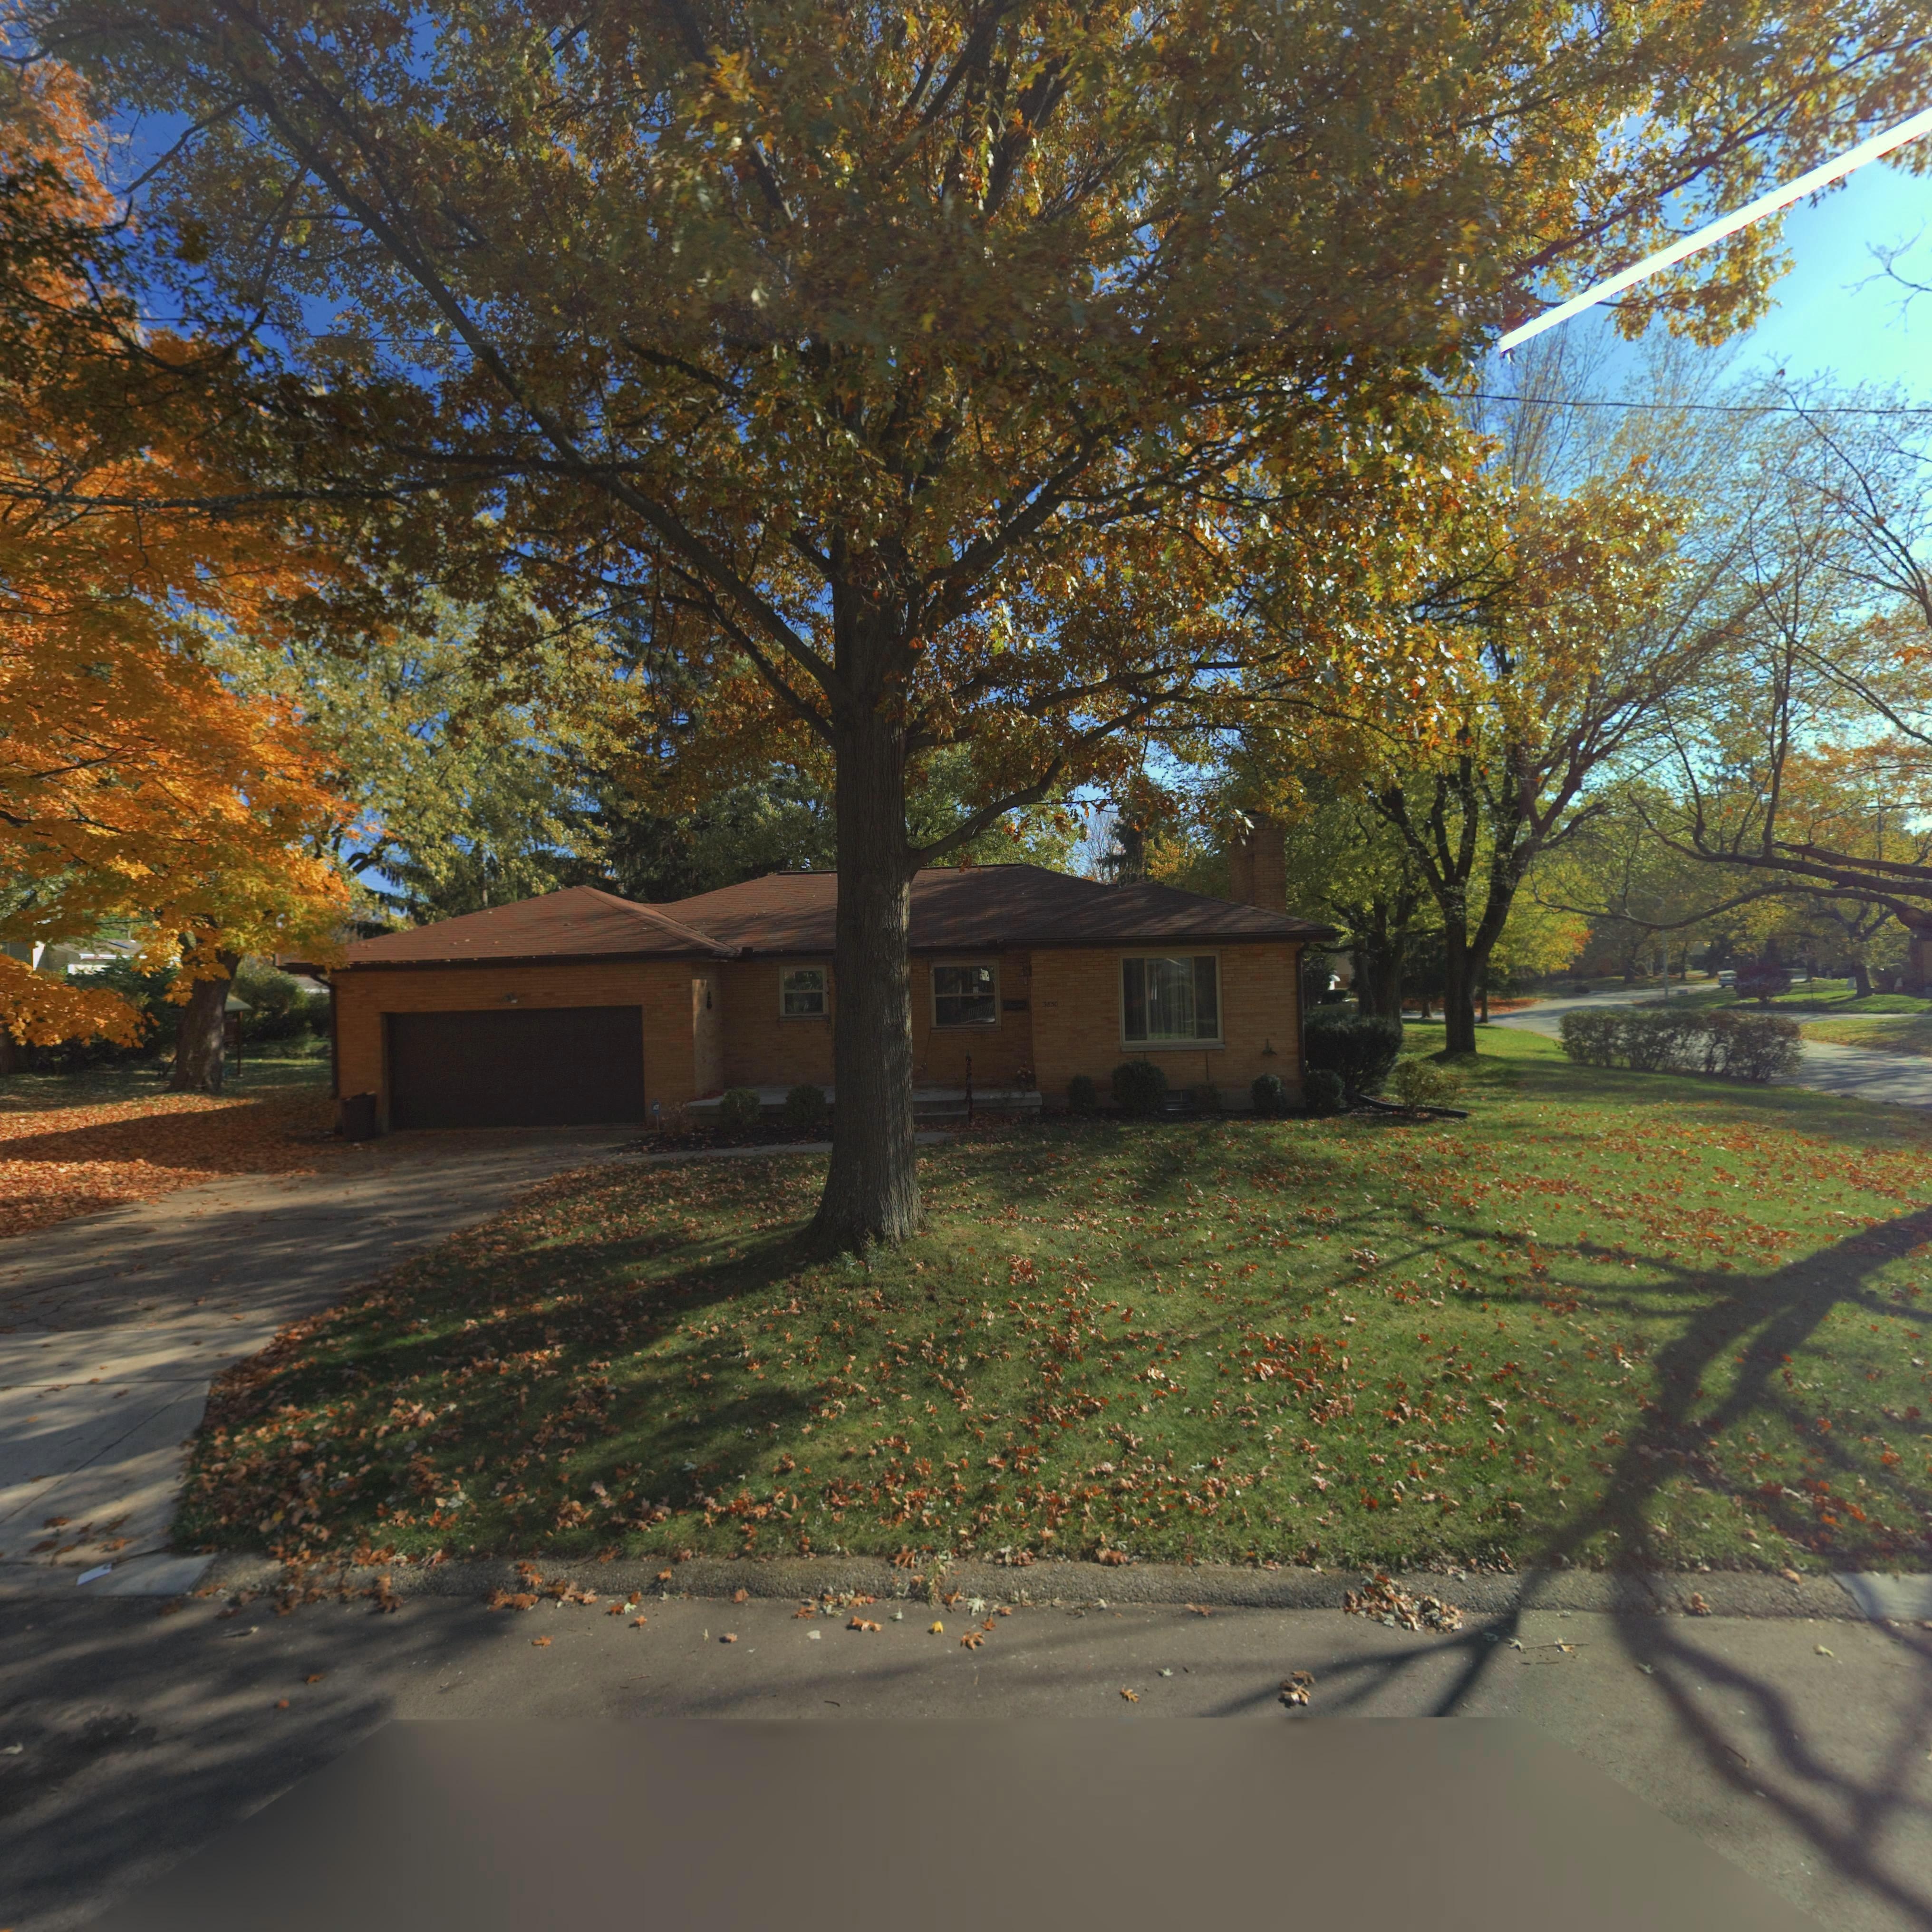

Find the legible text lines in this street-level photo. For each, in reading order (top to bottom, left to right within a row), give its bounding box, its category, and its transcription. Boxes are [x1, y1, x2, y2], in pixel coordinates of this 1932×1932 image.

[1042, 1000, 1058, 1008] StreetNumber: 3830